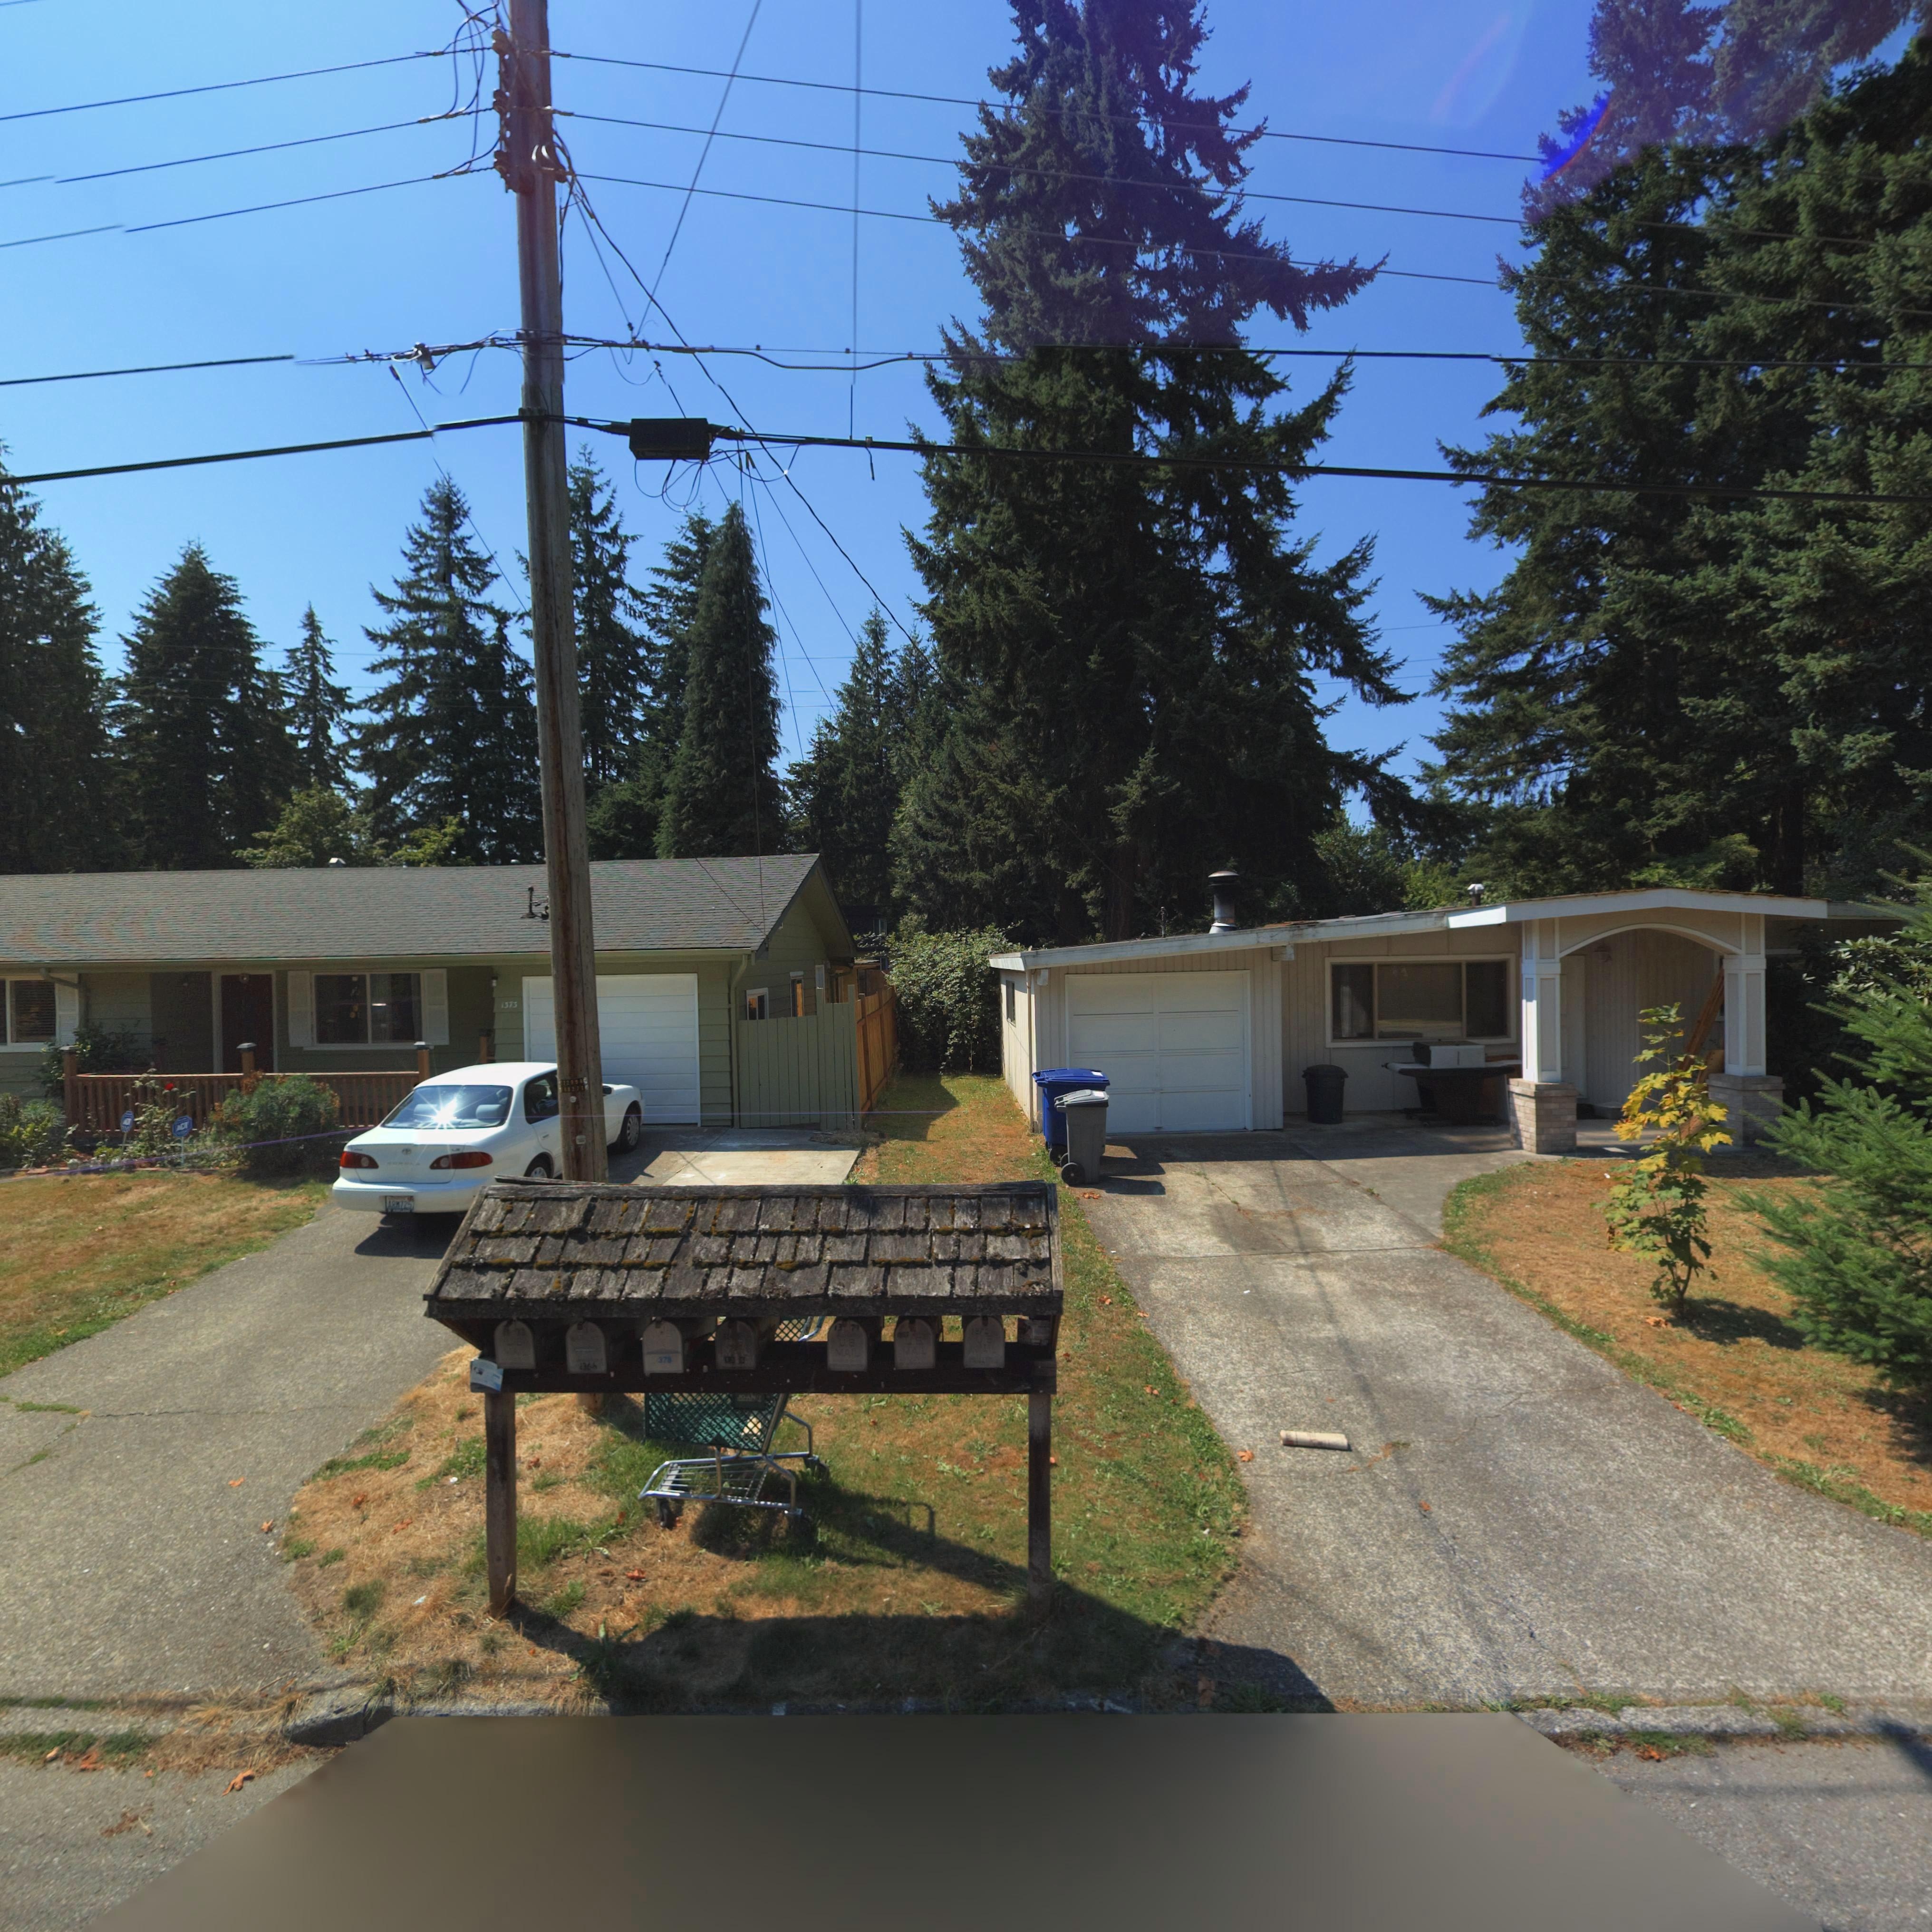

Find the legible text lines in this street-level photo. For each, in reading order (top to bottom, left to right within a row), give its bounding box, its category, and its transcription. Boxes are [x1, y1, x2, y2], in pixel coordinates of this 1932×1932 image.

[501, 1002, 517, 1008] StreetNumber: 1373
[658, 1356, 671, 1363] StreetNumber: 378